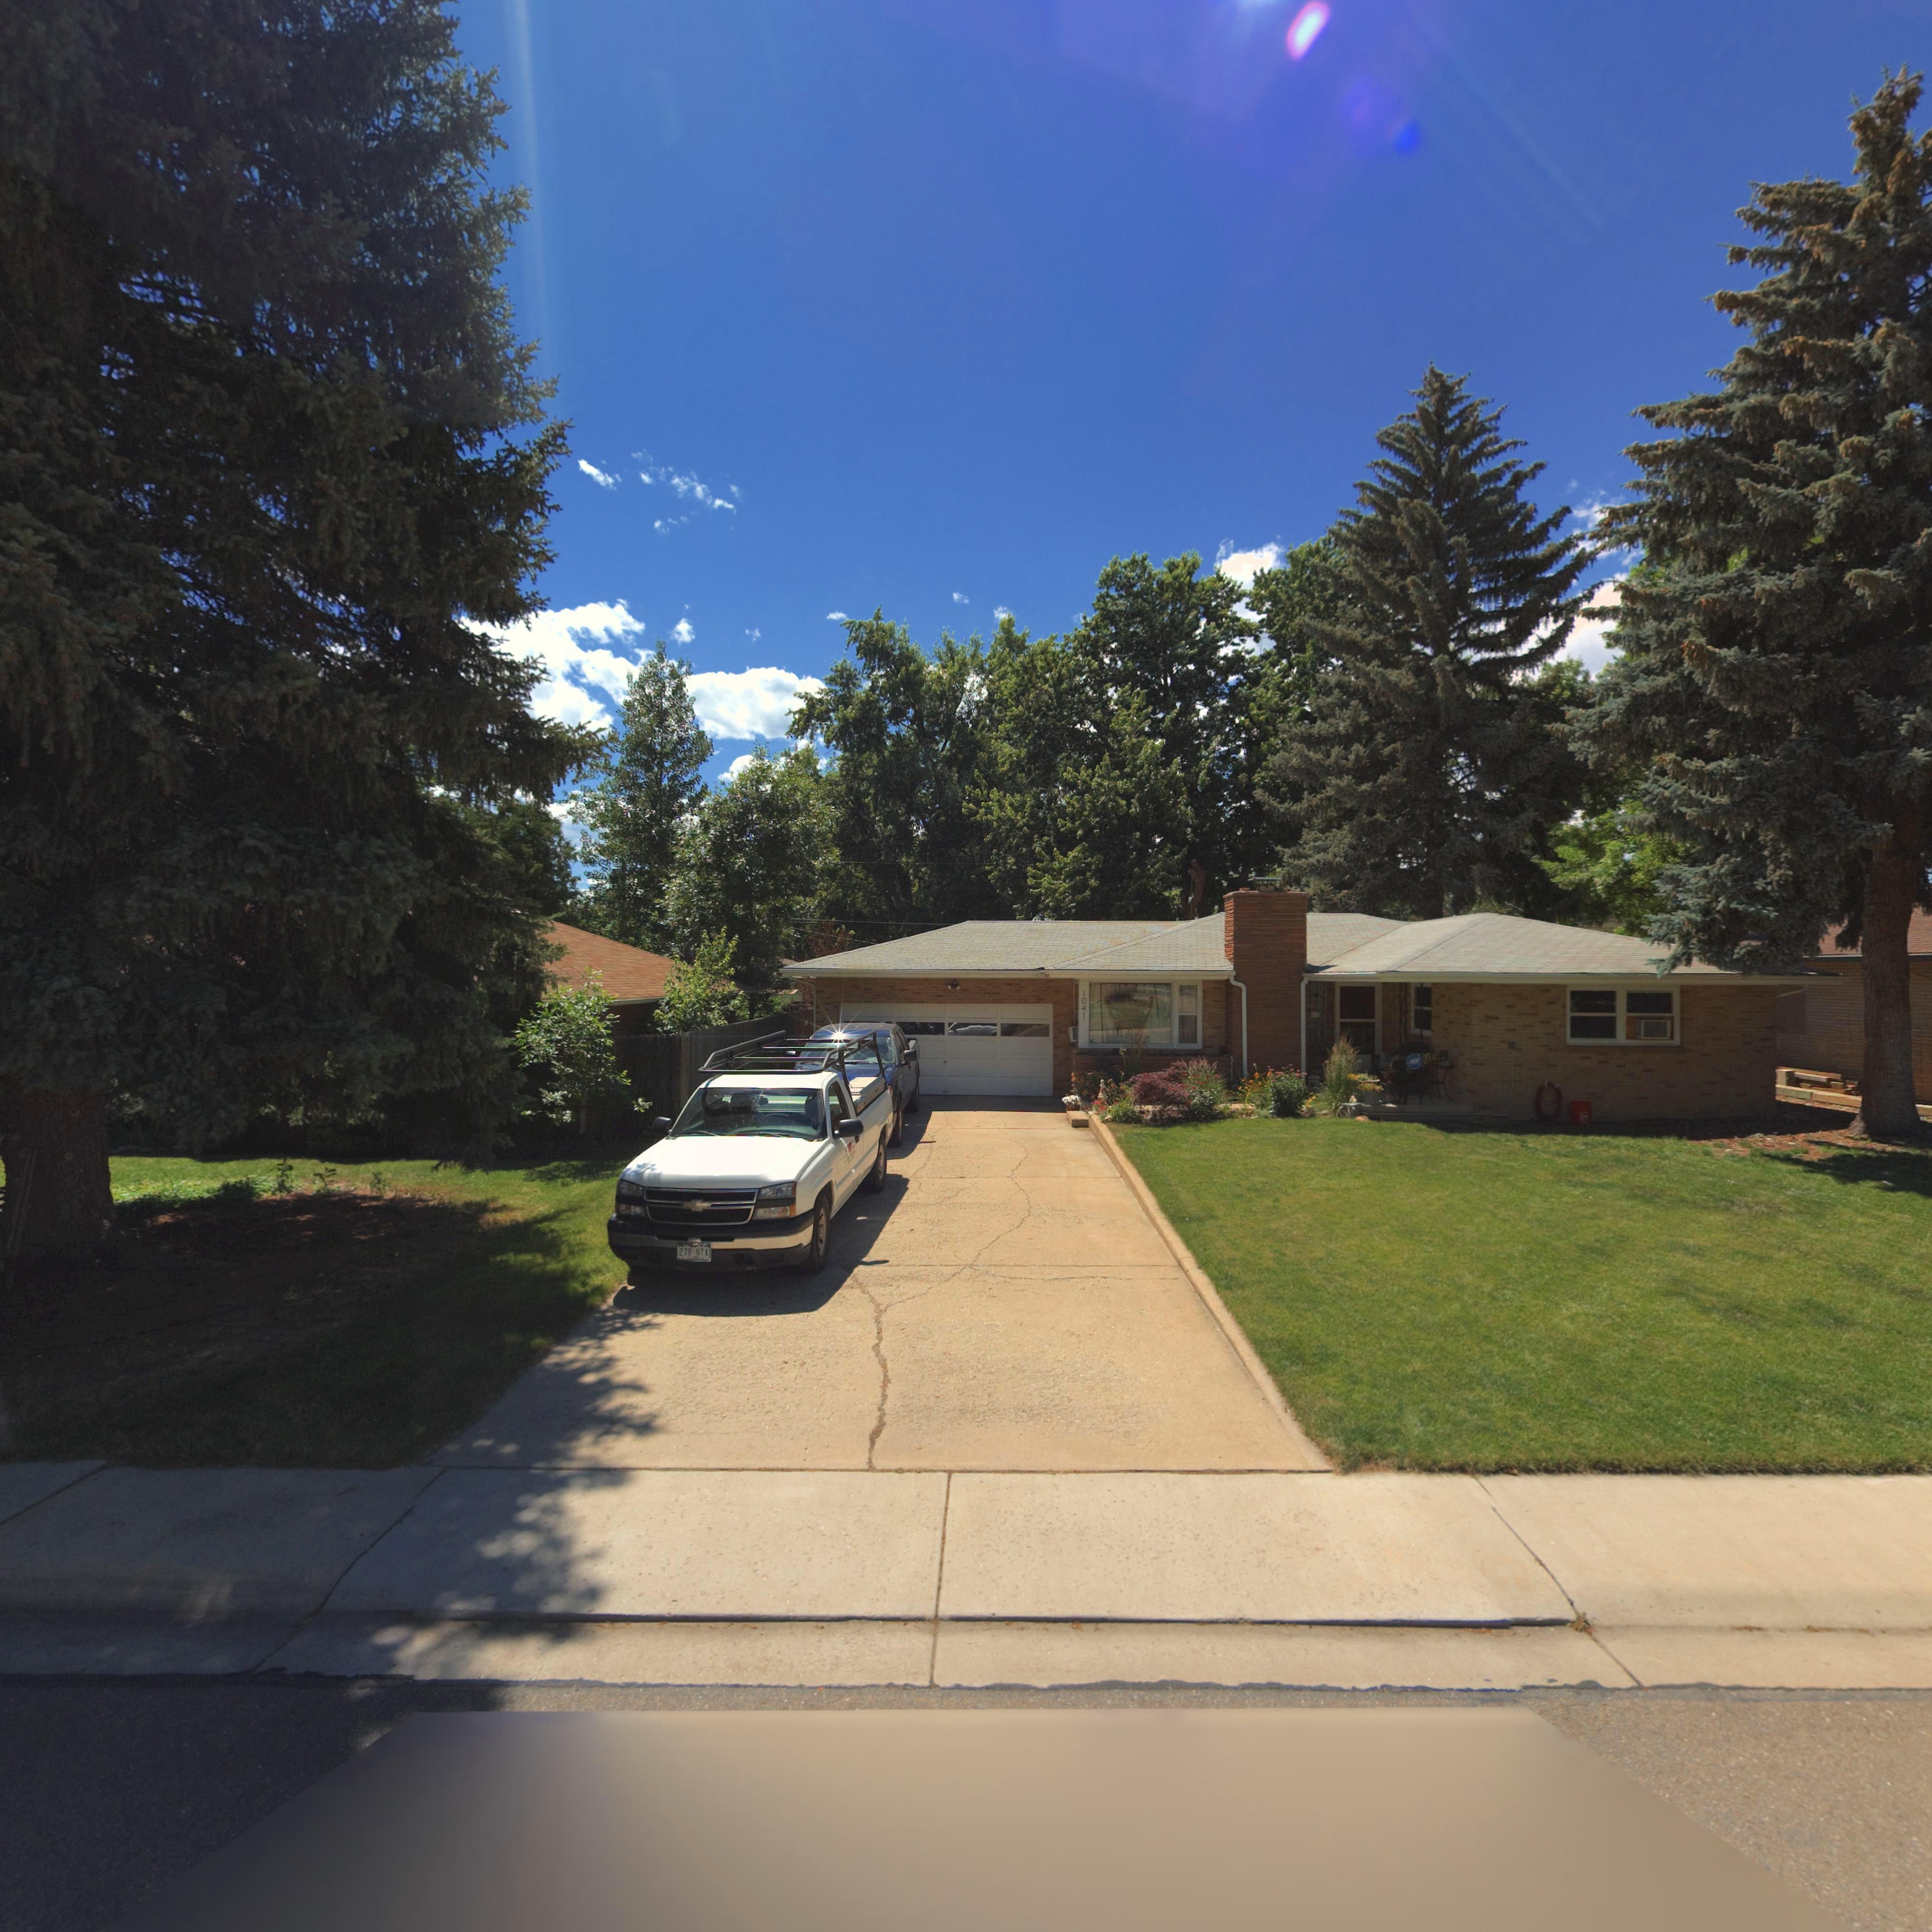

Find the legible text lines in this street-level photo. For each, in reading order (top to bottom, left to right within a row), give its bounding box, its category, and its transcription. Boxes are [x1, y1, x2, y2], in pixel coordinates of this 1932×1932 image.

[1082, 990, 1086, 1019] StreetNumber: 1041